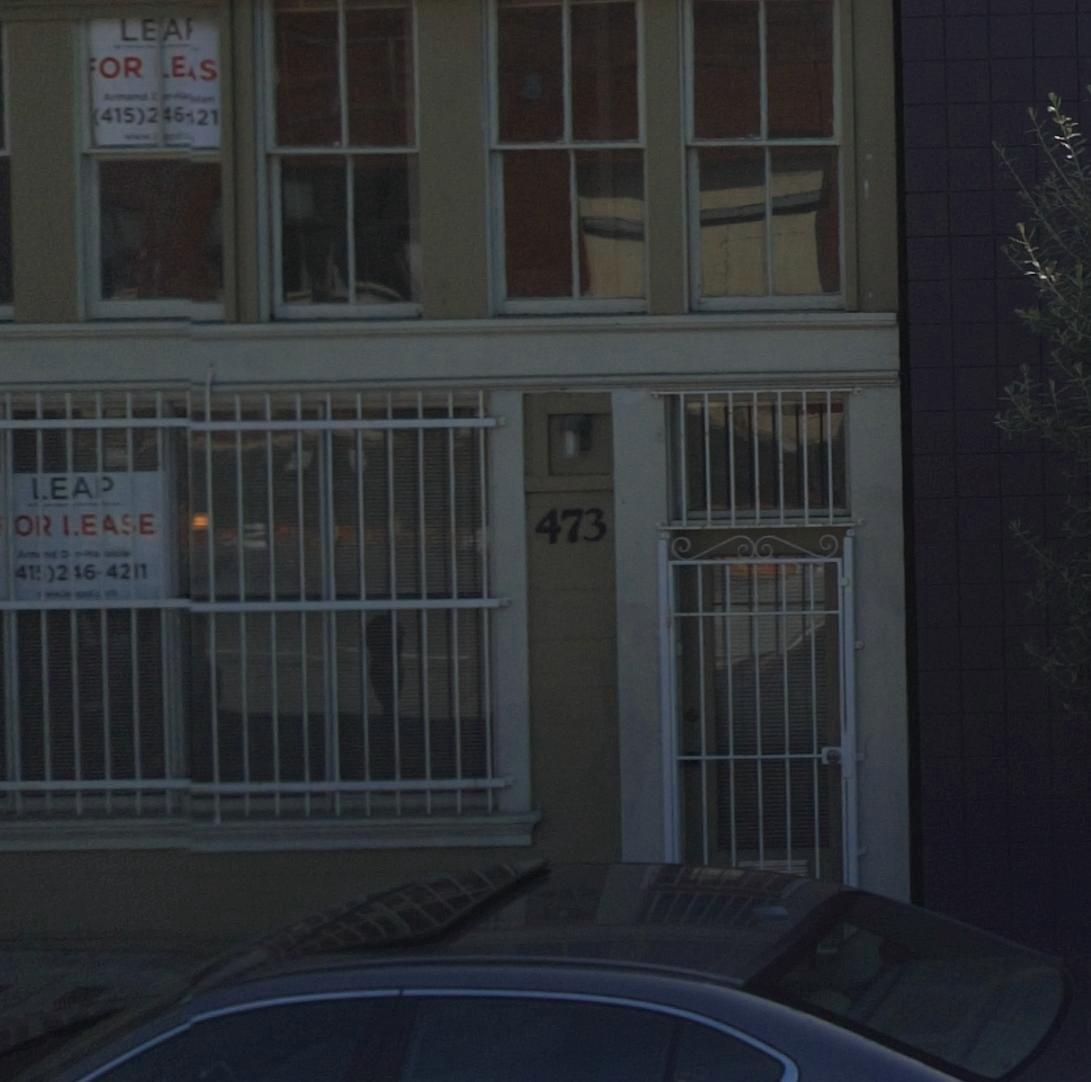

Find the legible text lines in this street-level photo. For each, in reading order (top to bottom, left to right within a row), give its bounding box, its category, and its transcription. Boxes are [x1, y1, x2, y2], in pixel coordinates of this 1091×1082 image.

[114, 15, 161, 44] None: LE
[159, 12, 188, 46] None: A
[96, 52, 146, 82] None: OR
[168, 52, 221, 88] None: E*S
[90, 103, 162, 130] None: (415)2
[169, 100, 223, 130] None: 6*21
[48, 471, 102, 506] None: EA
[11, 511, 38, 542] None: O
[77, 510, 102, 540] None: E
[135, 510, 157, 541] None: E
[525, 502, 610, 549] StreetNumber: 473
[11, 560, 32, 585] None: 4
[53, 560, 73, 584] None: 2
[80, 561, 97, 582] None: 6
[102, 560, 151, 583] None: 4211